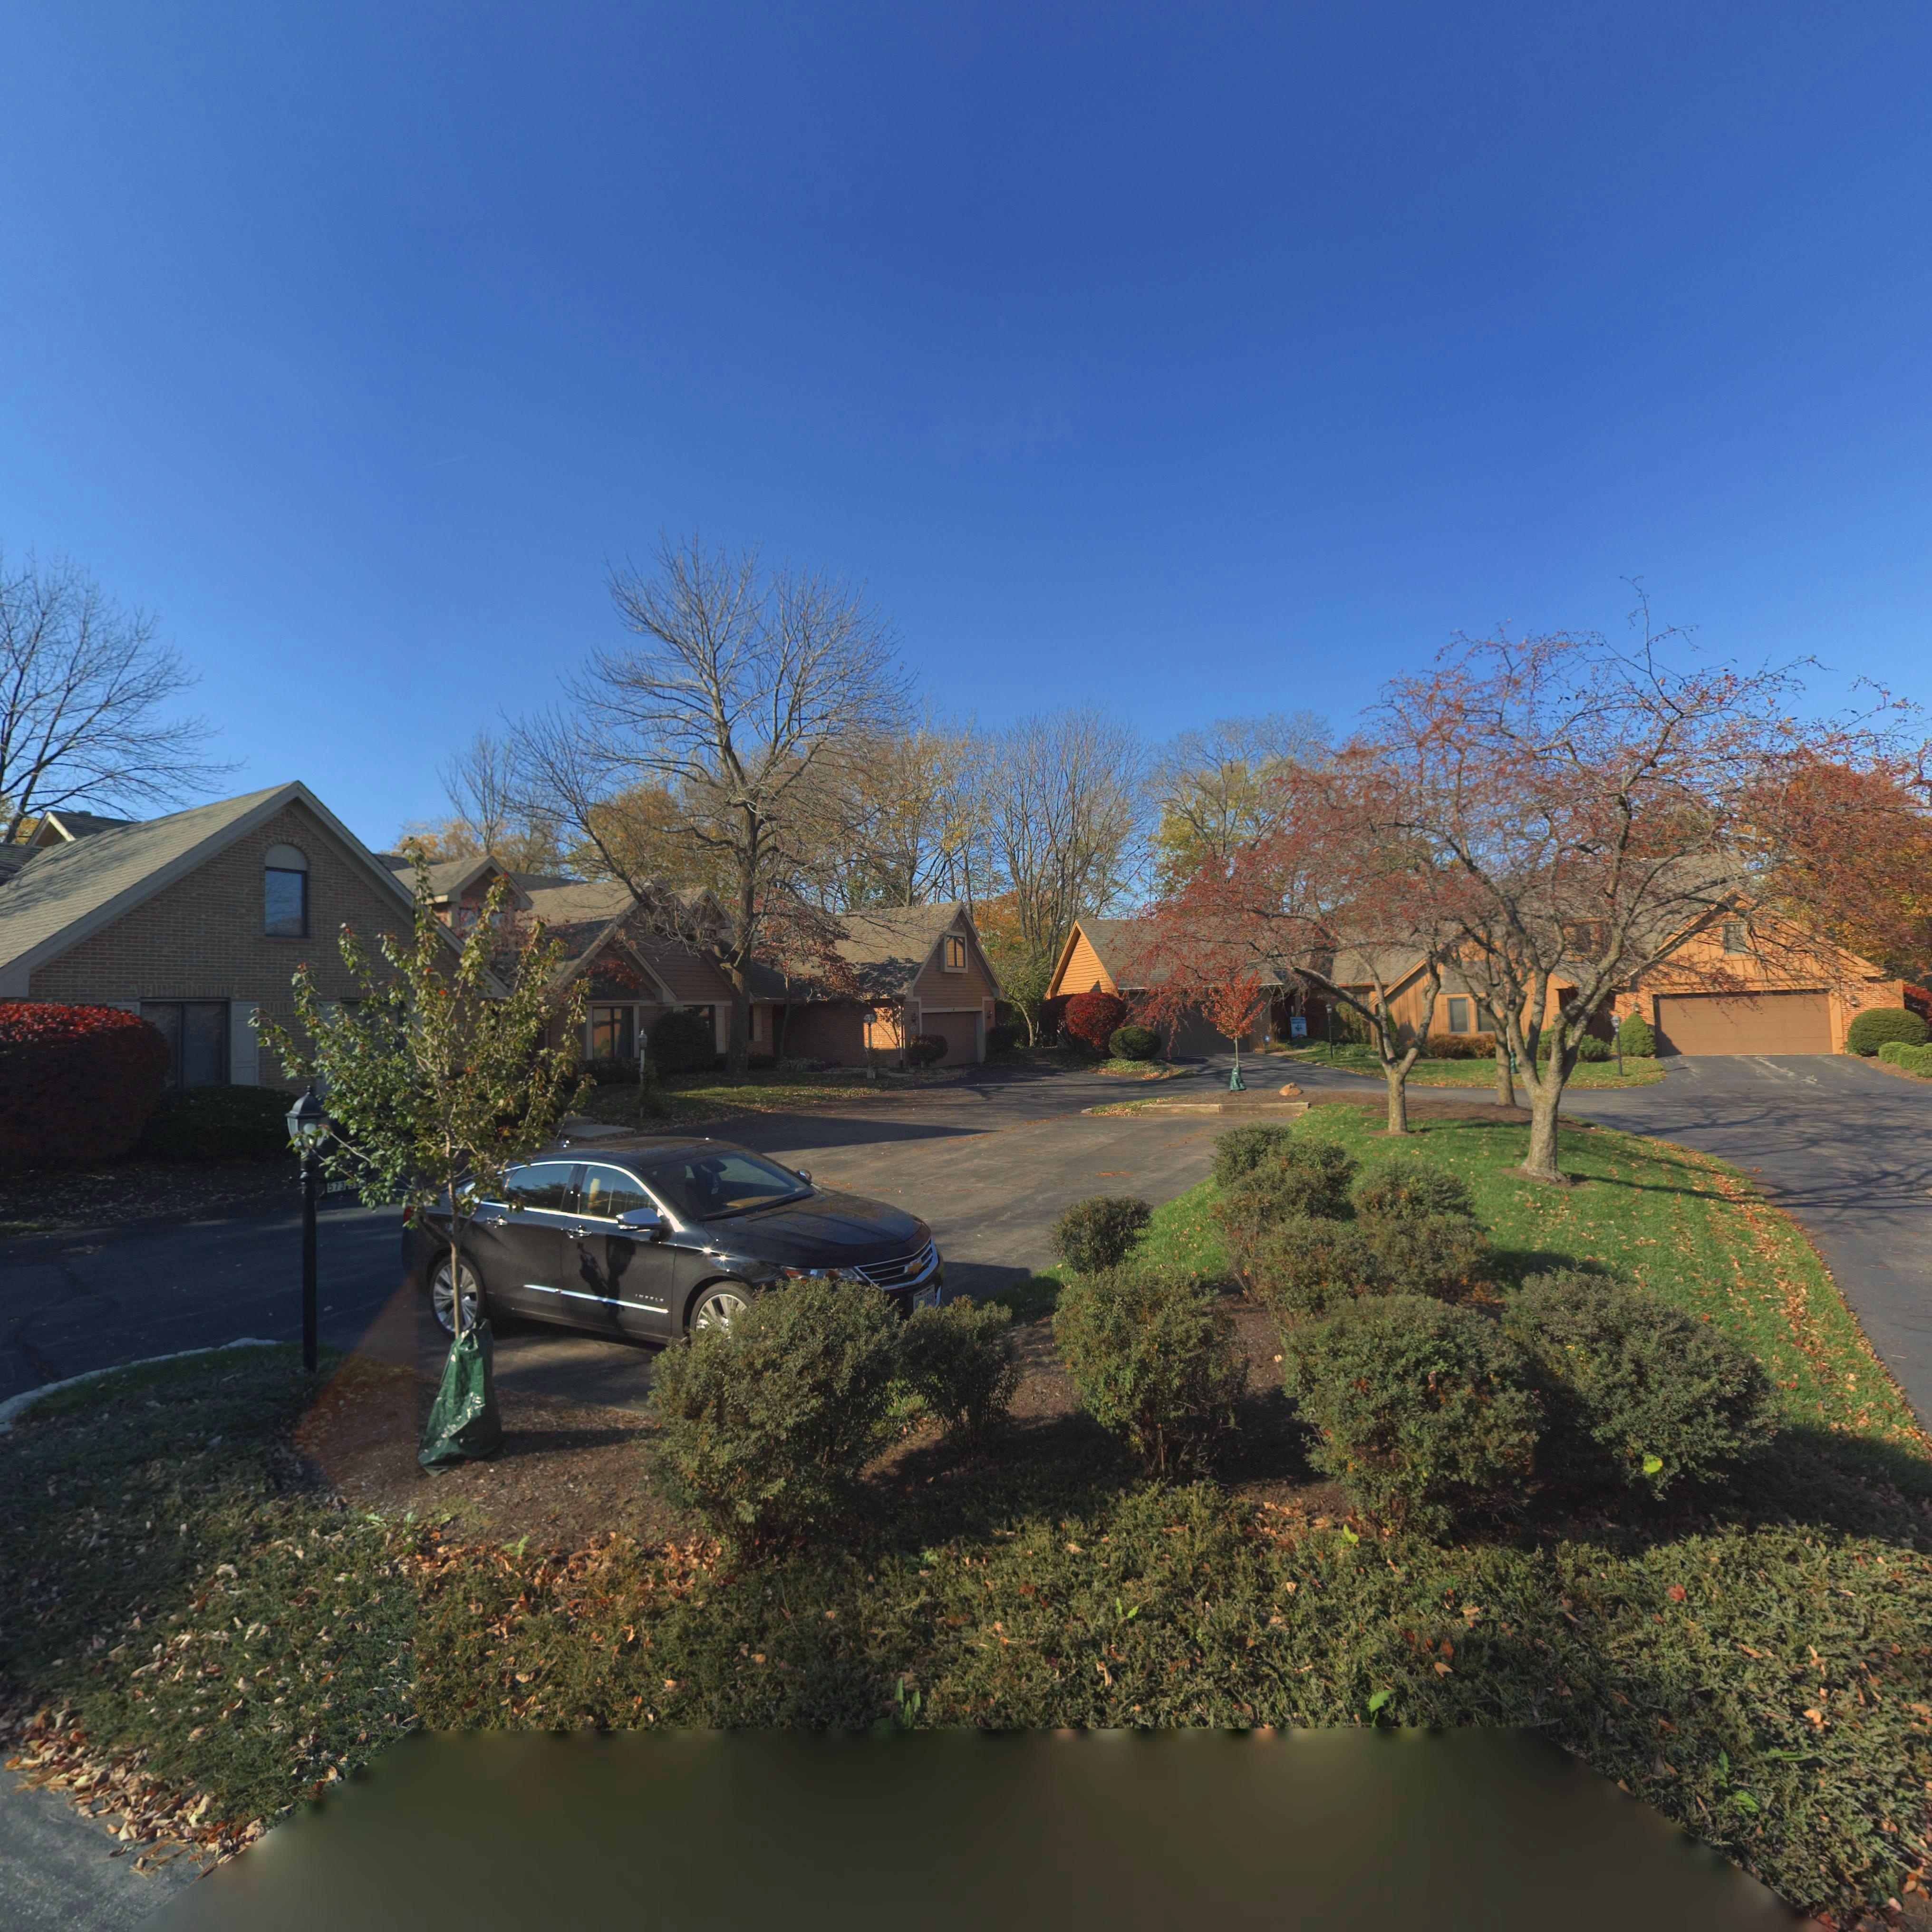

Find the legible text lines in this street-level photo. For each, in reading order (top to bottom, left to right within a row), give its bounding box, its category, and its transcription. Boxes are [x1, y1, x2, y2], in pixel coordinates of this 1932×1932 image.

[328, 1180, 346, 1193] StreetNumber: 573